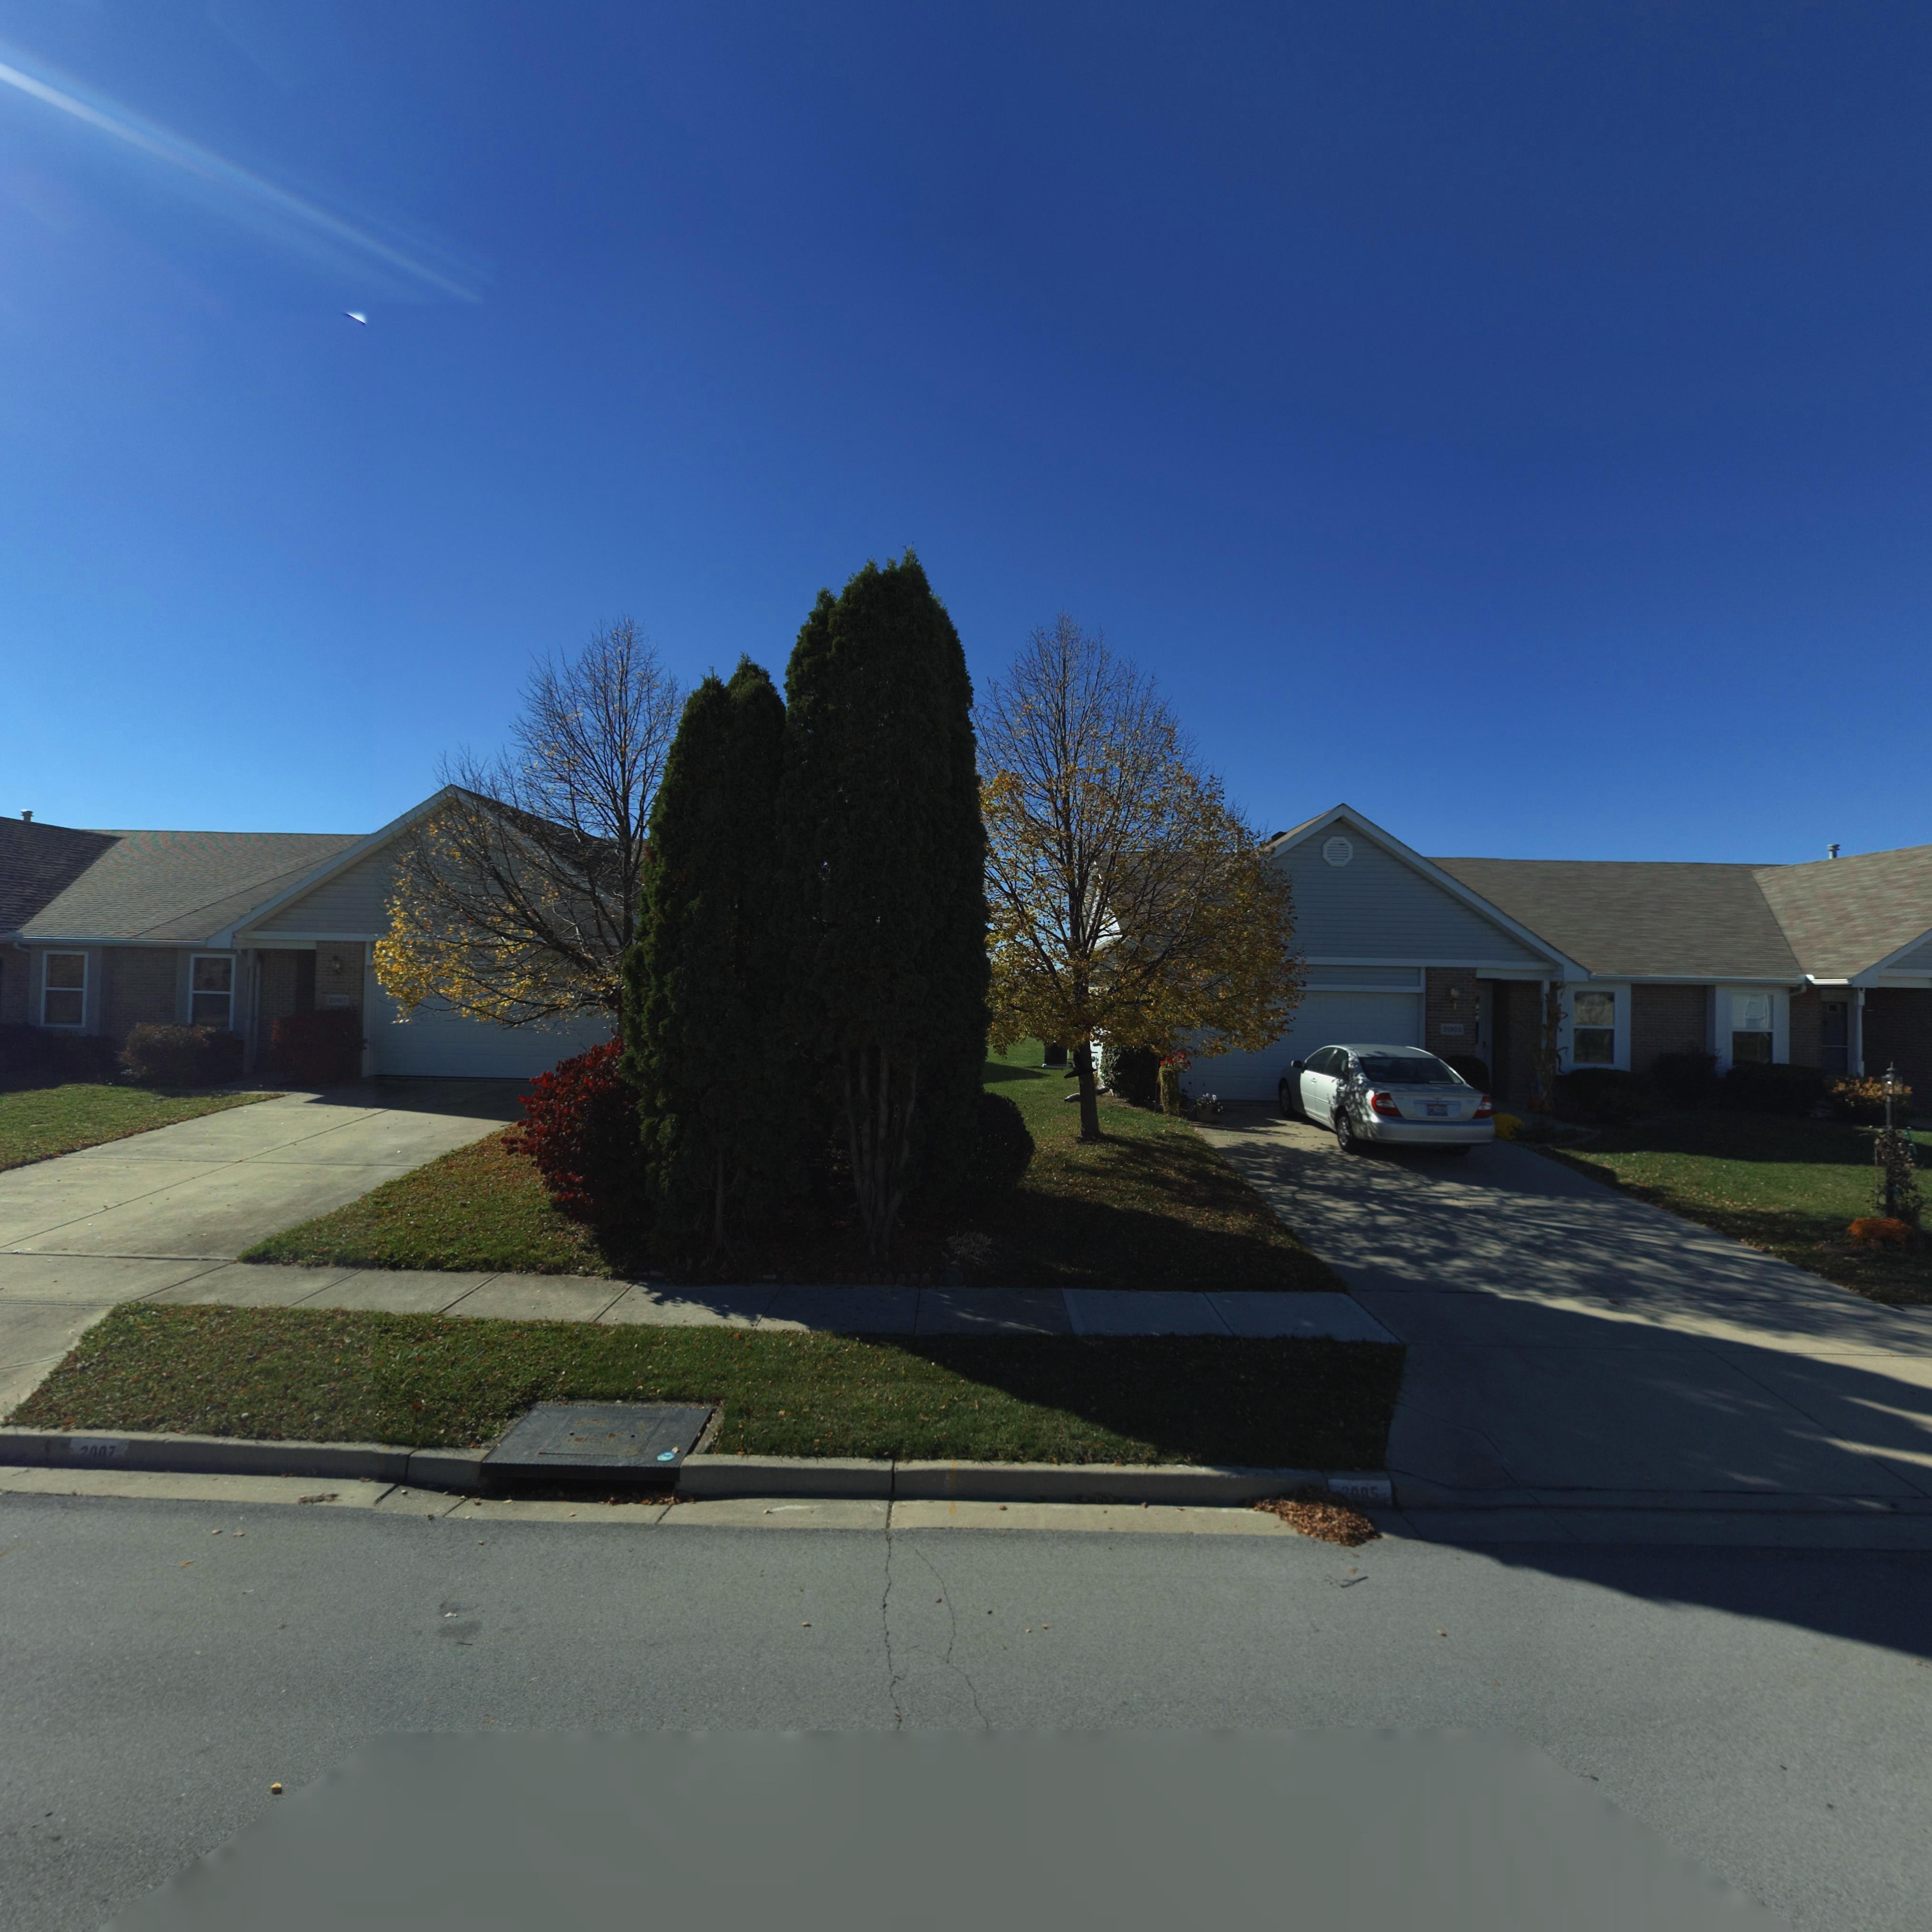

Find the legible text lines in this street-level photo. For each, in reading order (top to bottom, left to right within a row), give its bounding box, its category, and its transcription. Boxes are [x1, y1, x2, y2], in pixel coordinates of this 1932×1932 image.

[328, 996, 348, 1005] StreetNumber: *00*
[1442, 1025, 1463, 1034] StreetNumber: *00*
[1340, 1486, 1380, 1502] StreetNumber: ***5